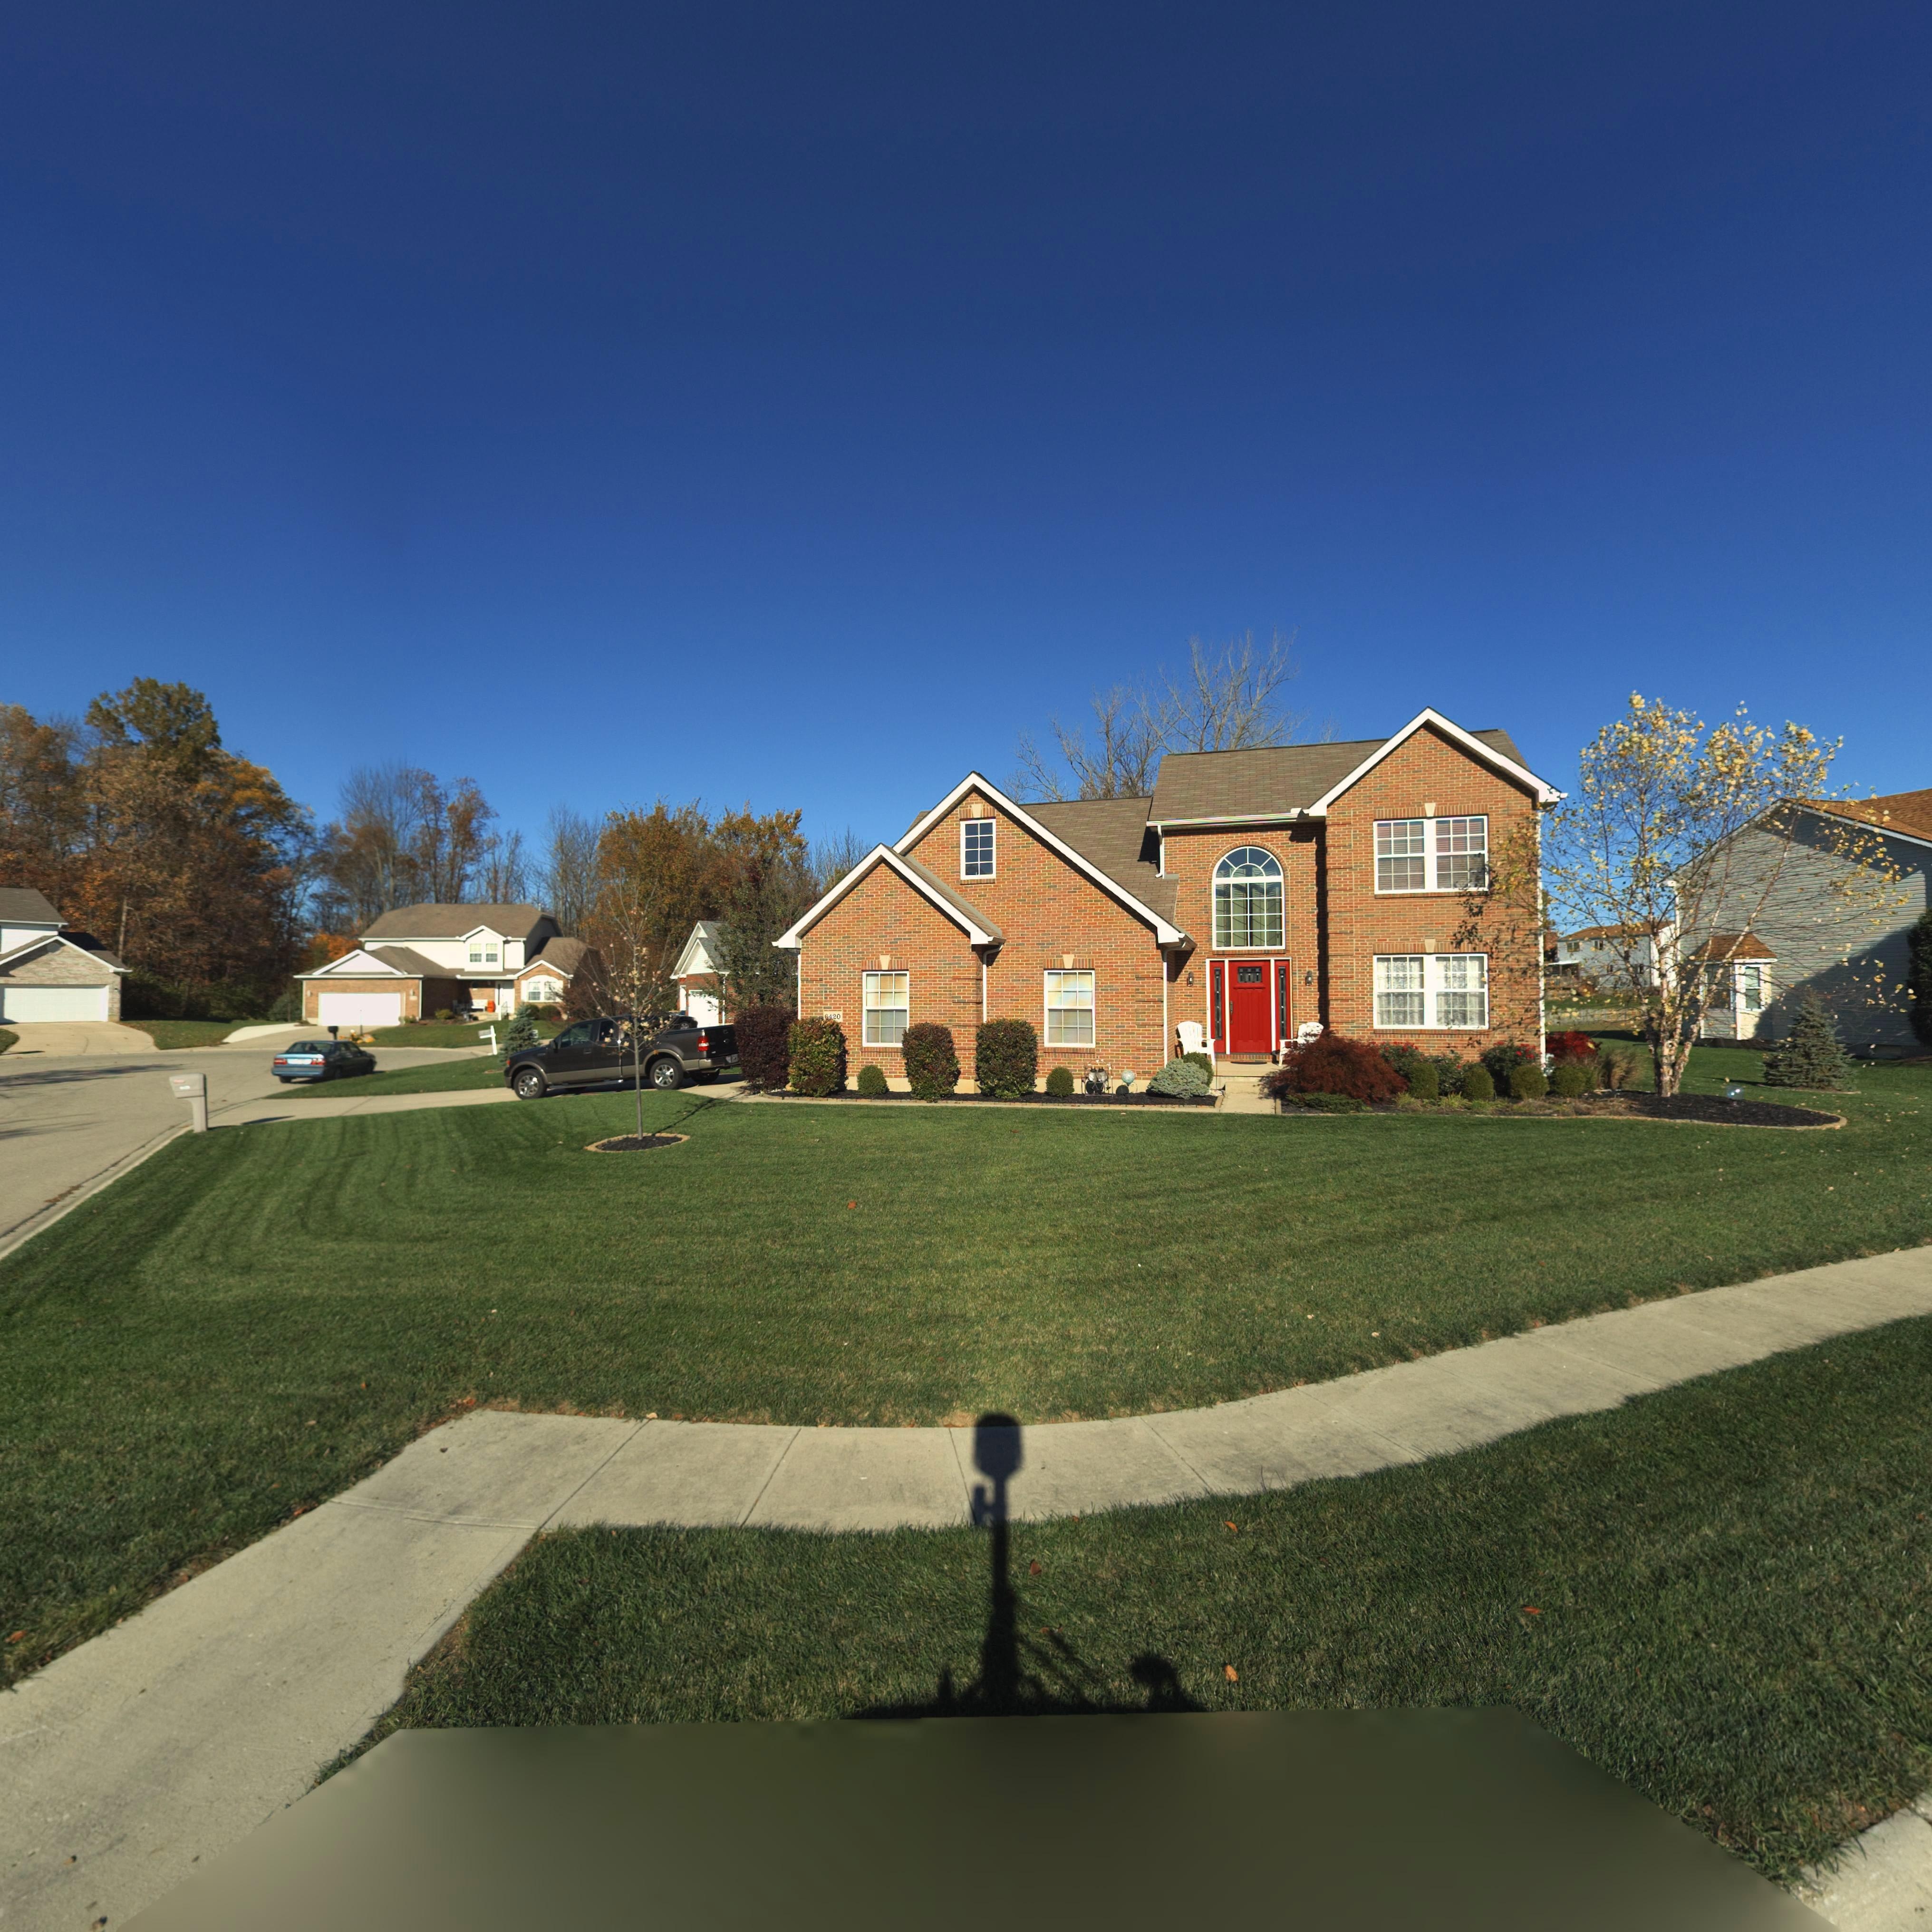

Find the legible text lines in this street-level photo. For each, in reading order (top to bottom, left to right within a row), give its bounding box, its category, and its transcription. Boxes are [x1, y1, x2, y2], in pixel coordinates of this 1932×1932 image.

[831, 1013, 841, 1020] StreetNumber: 20